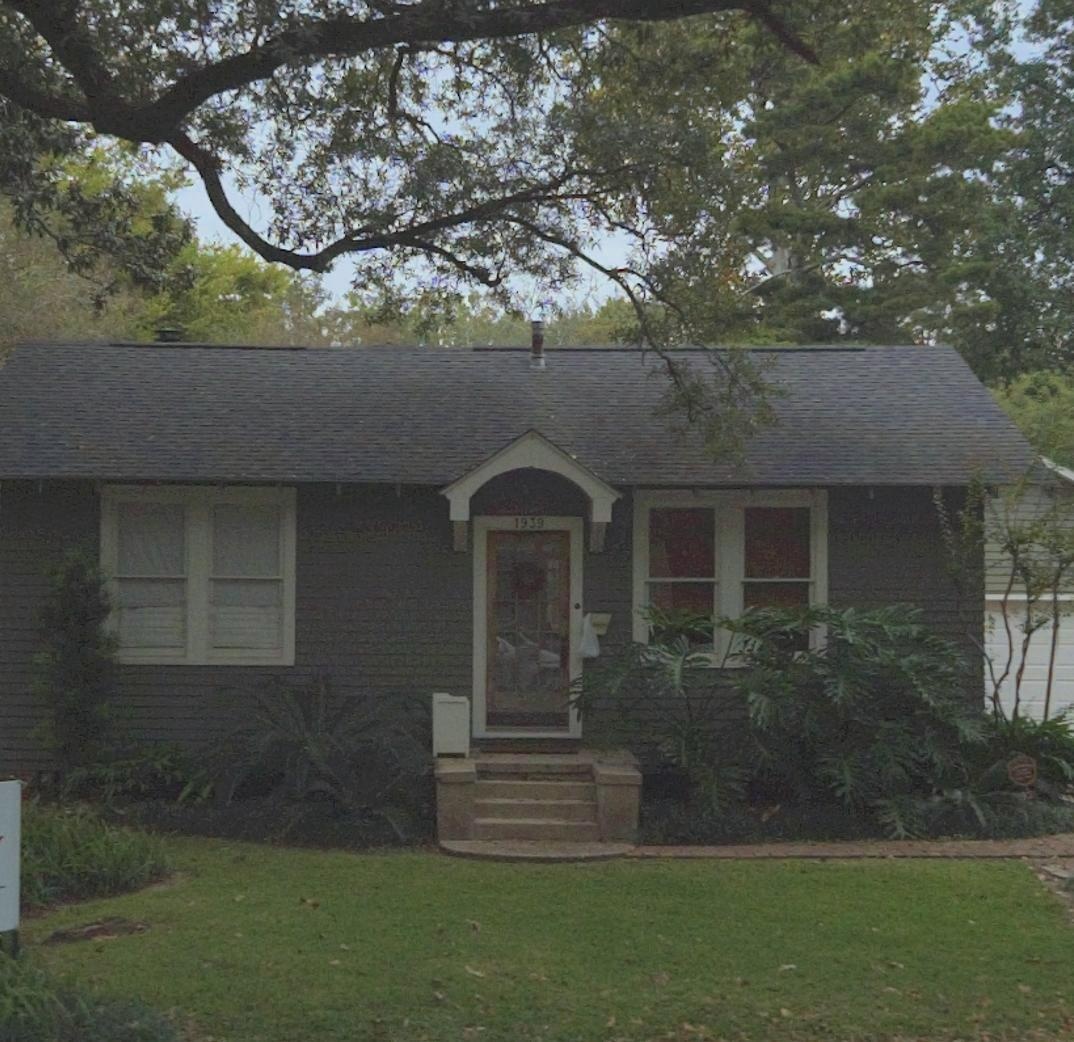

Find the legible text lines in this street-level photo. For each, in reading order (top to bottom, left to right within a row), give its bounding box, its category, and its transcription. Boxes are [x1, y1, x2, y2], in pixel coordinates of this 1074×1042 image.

[510, 517, 545, 530] StreetNumber: 1939